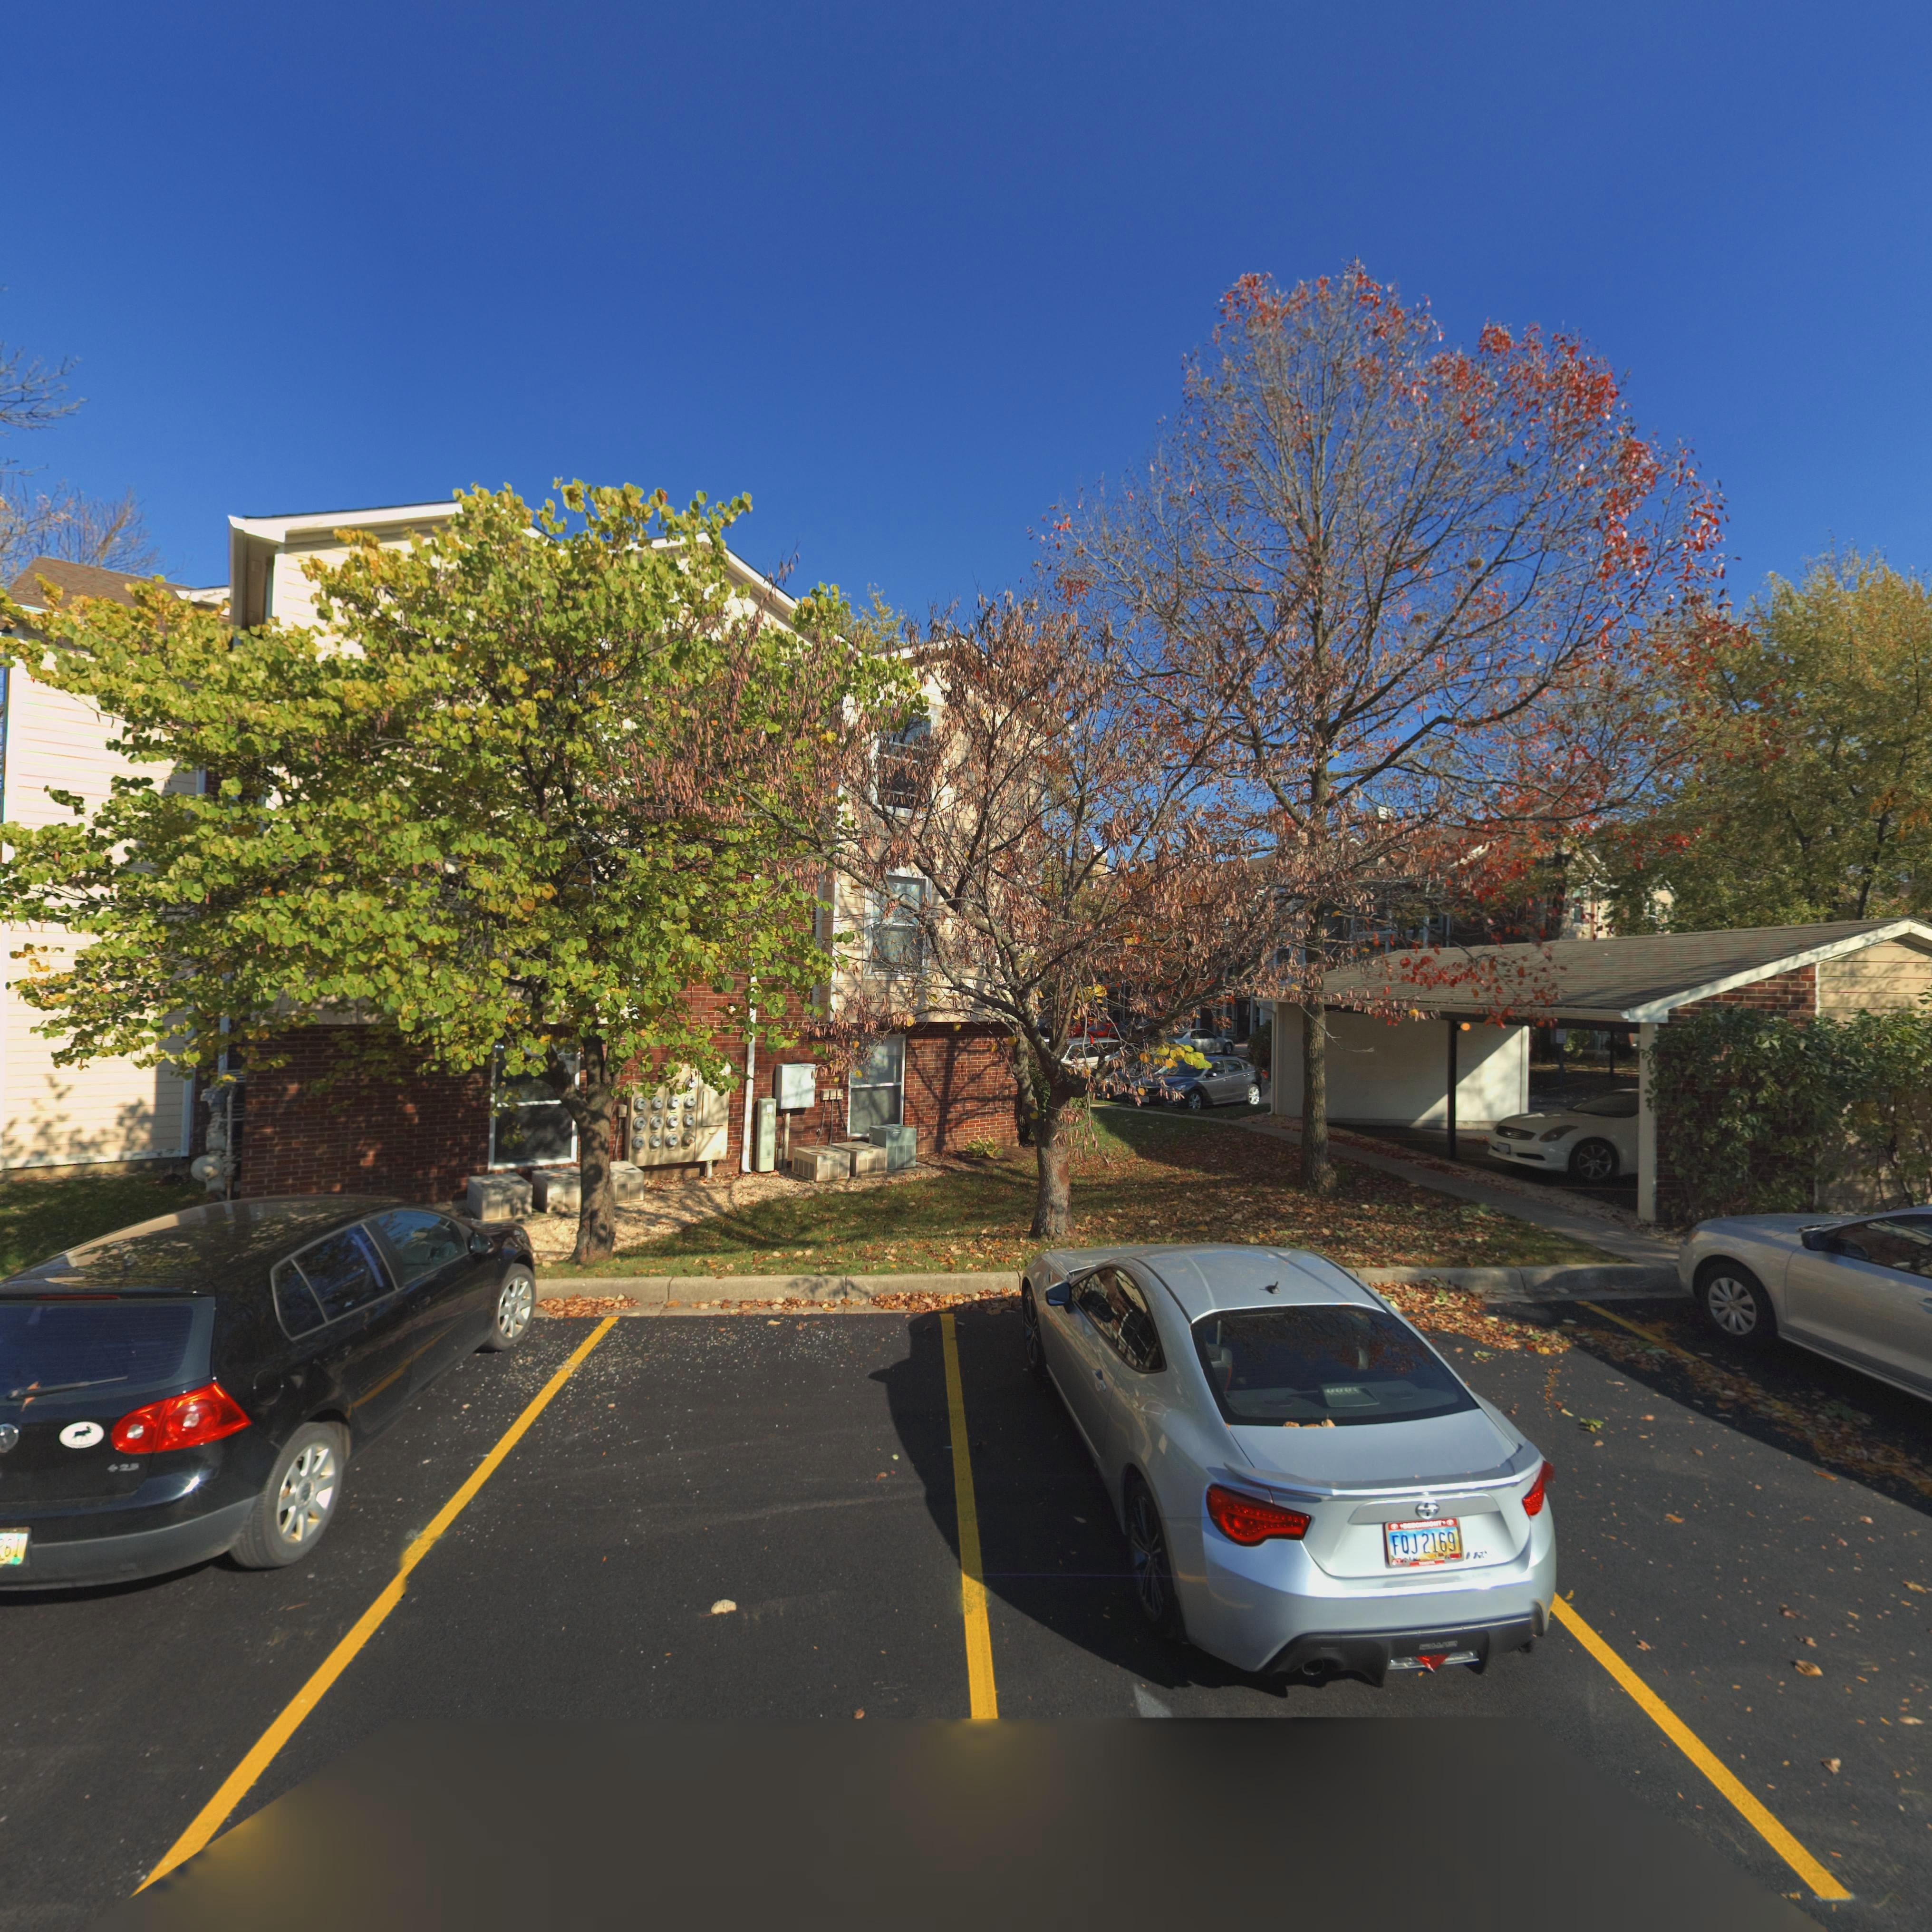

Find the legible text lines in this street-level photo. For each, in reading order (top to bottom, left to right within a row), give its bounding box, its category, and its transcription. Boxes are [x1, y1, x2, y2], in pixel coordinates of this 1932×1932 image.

[1391, 1530, 1458, 1557] None: FQJ 2169